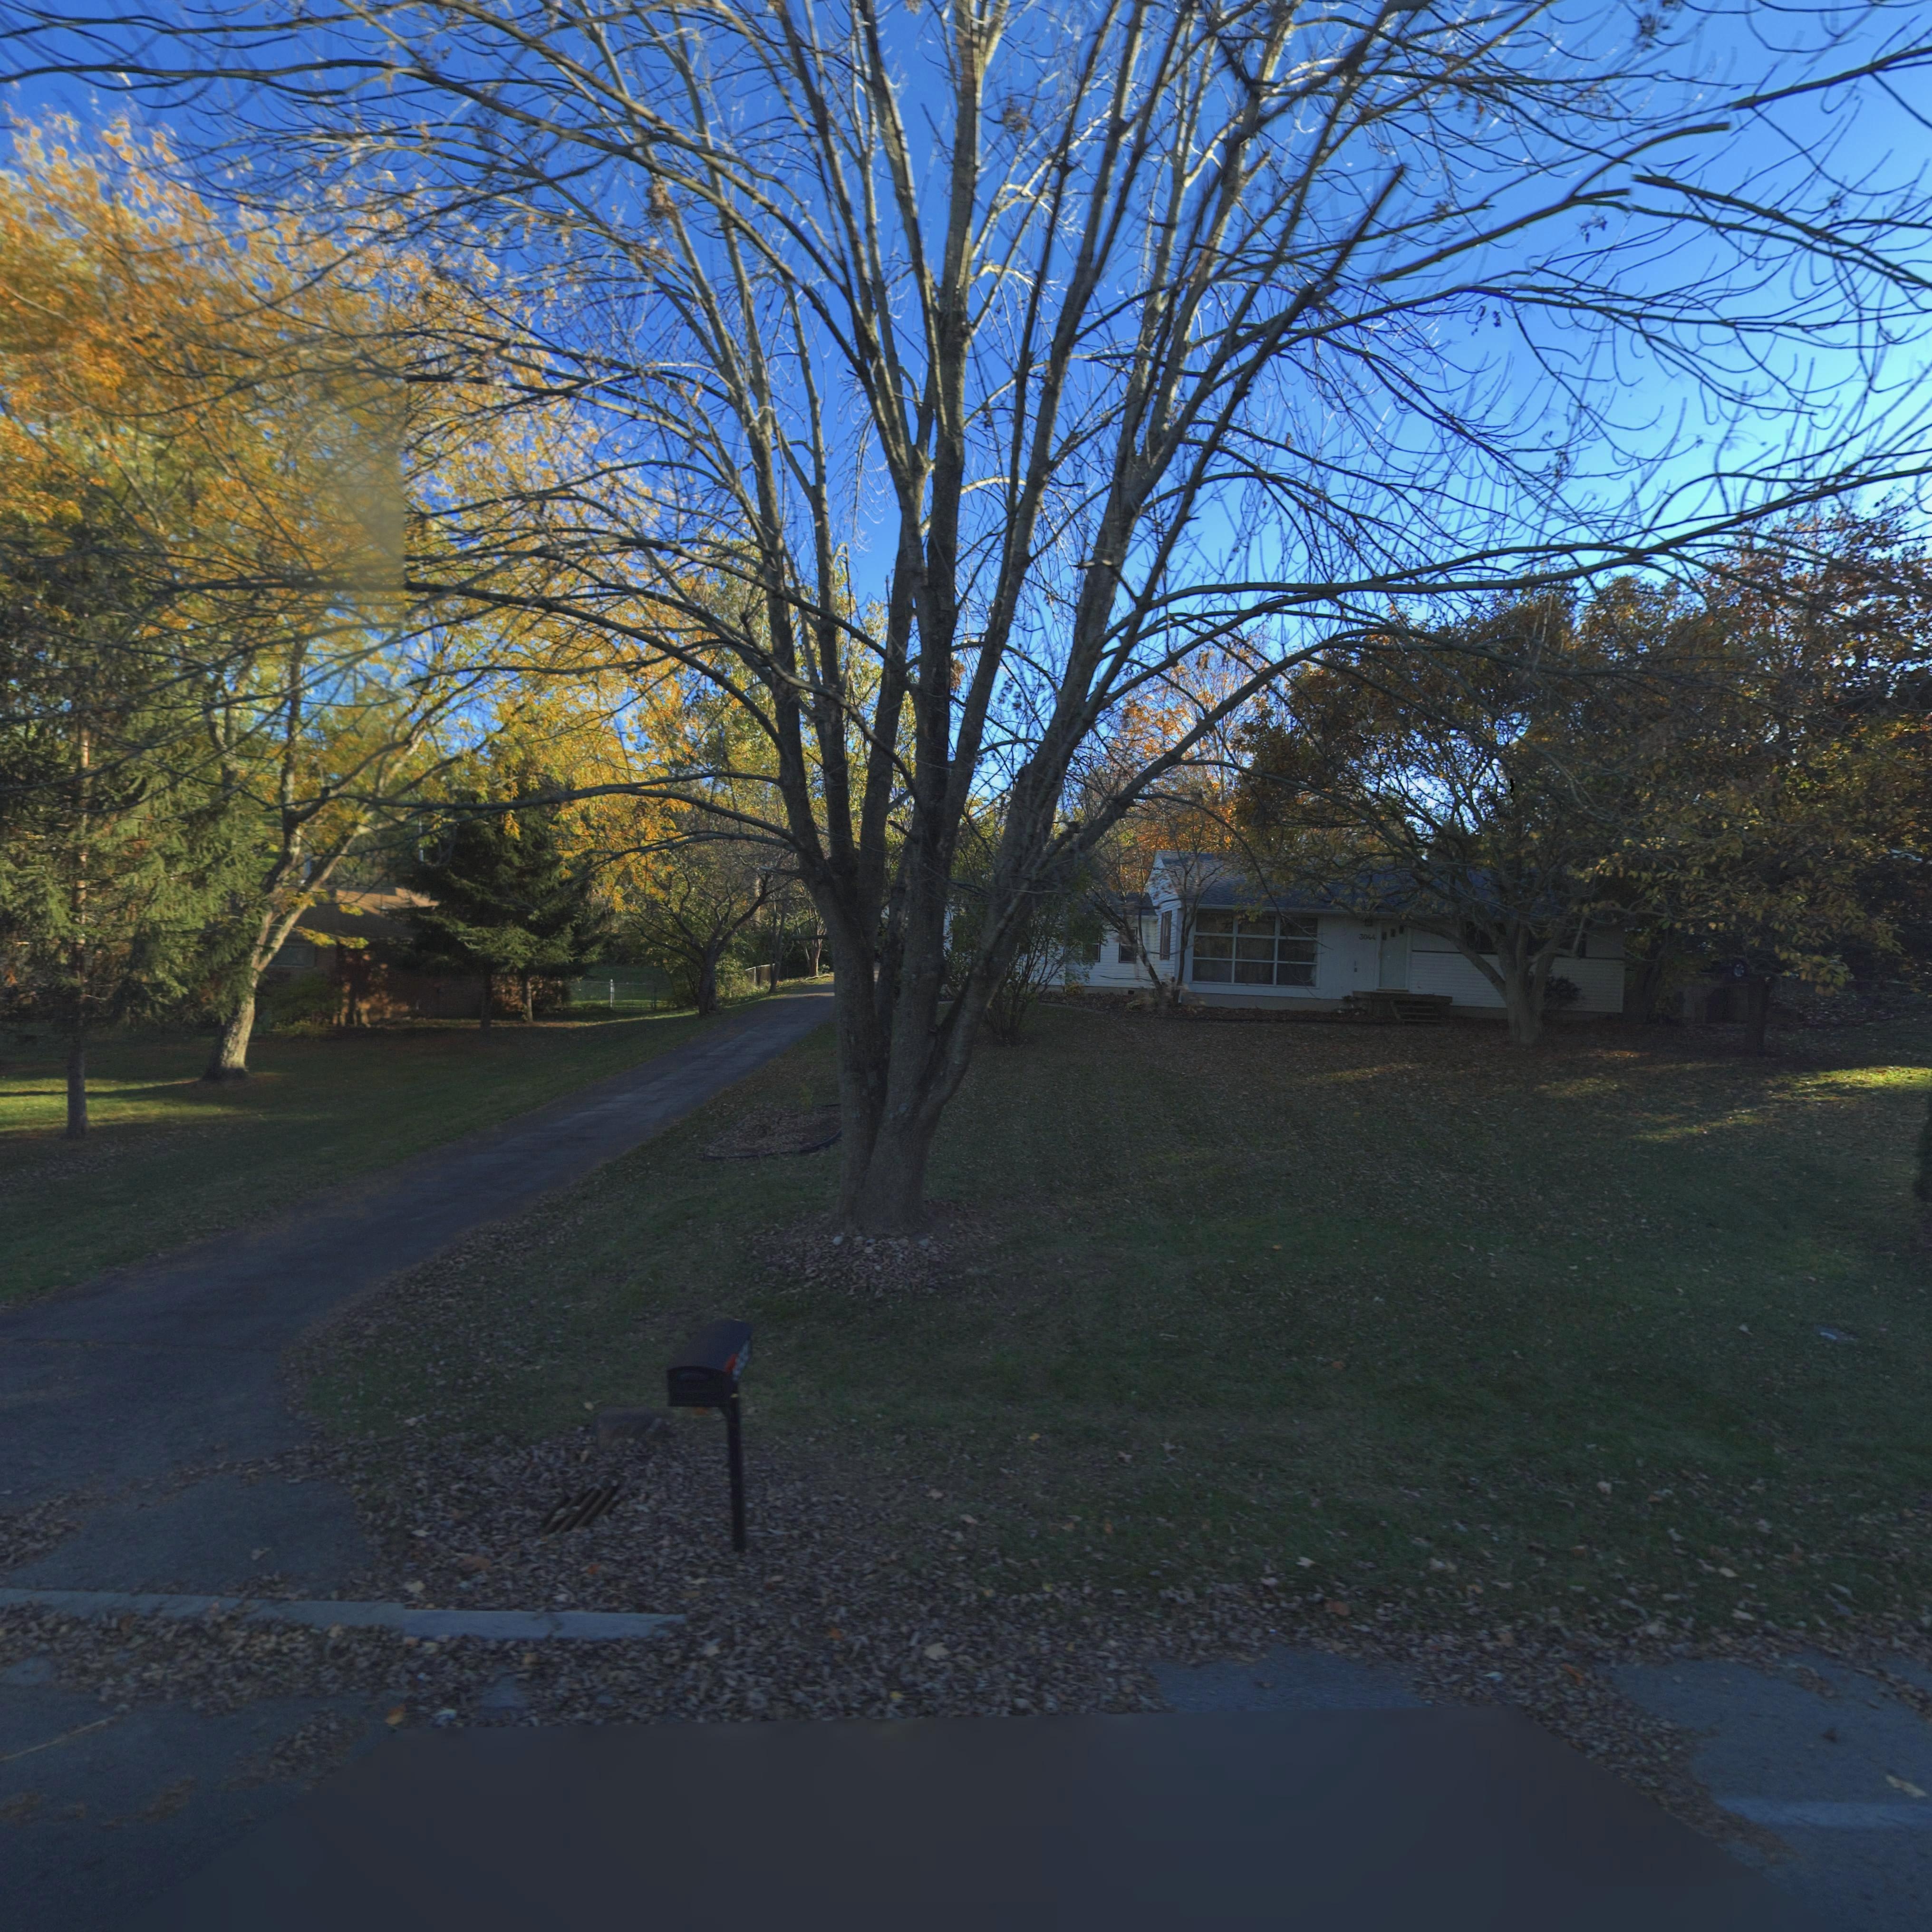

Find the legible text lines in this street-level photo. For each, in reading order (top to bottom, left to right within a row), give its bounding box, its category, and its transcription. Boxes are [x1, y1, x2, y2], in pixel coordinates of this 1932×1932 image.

[1358, 932, 1377, 941] StreetNumber: 3044